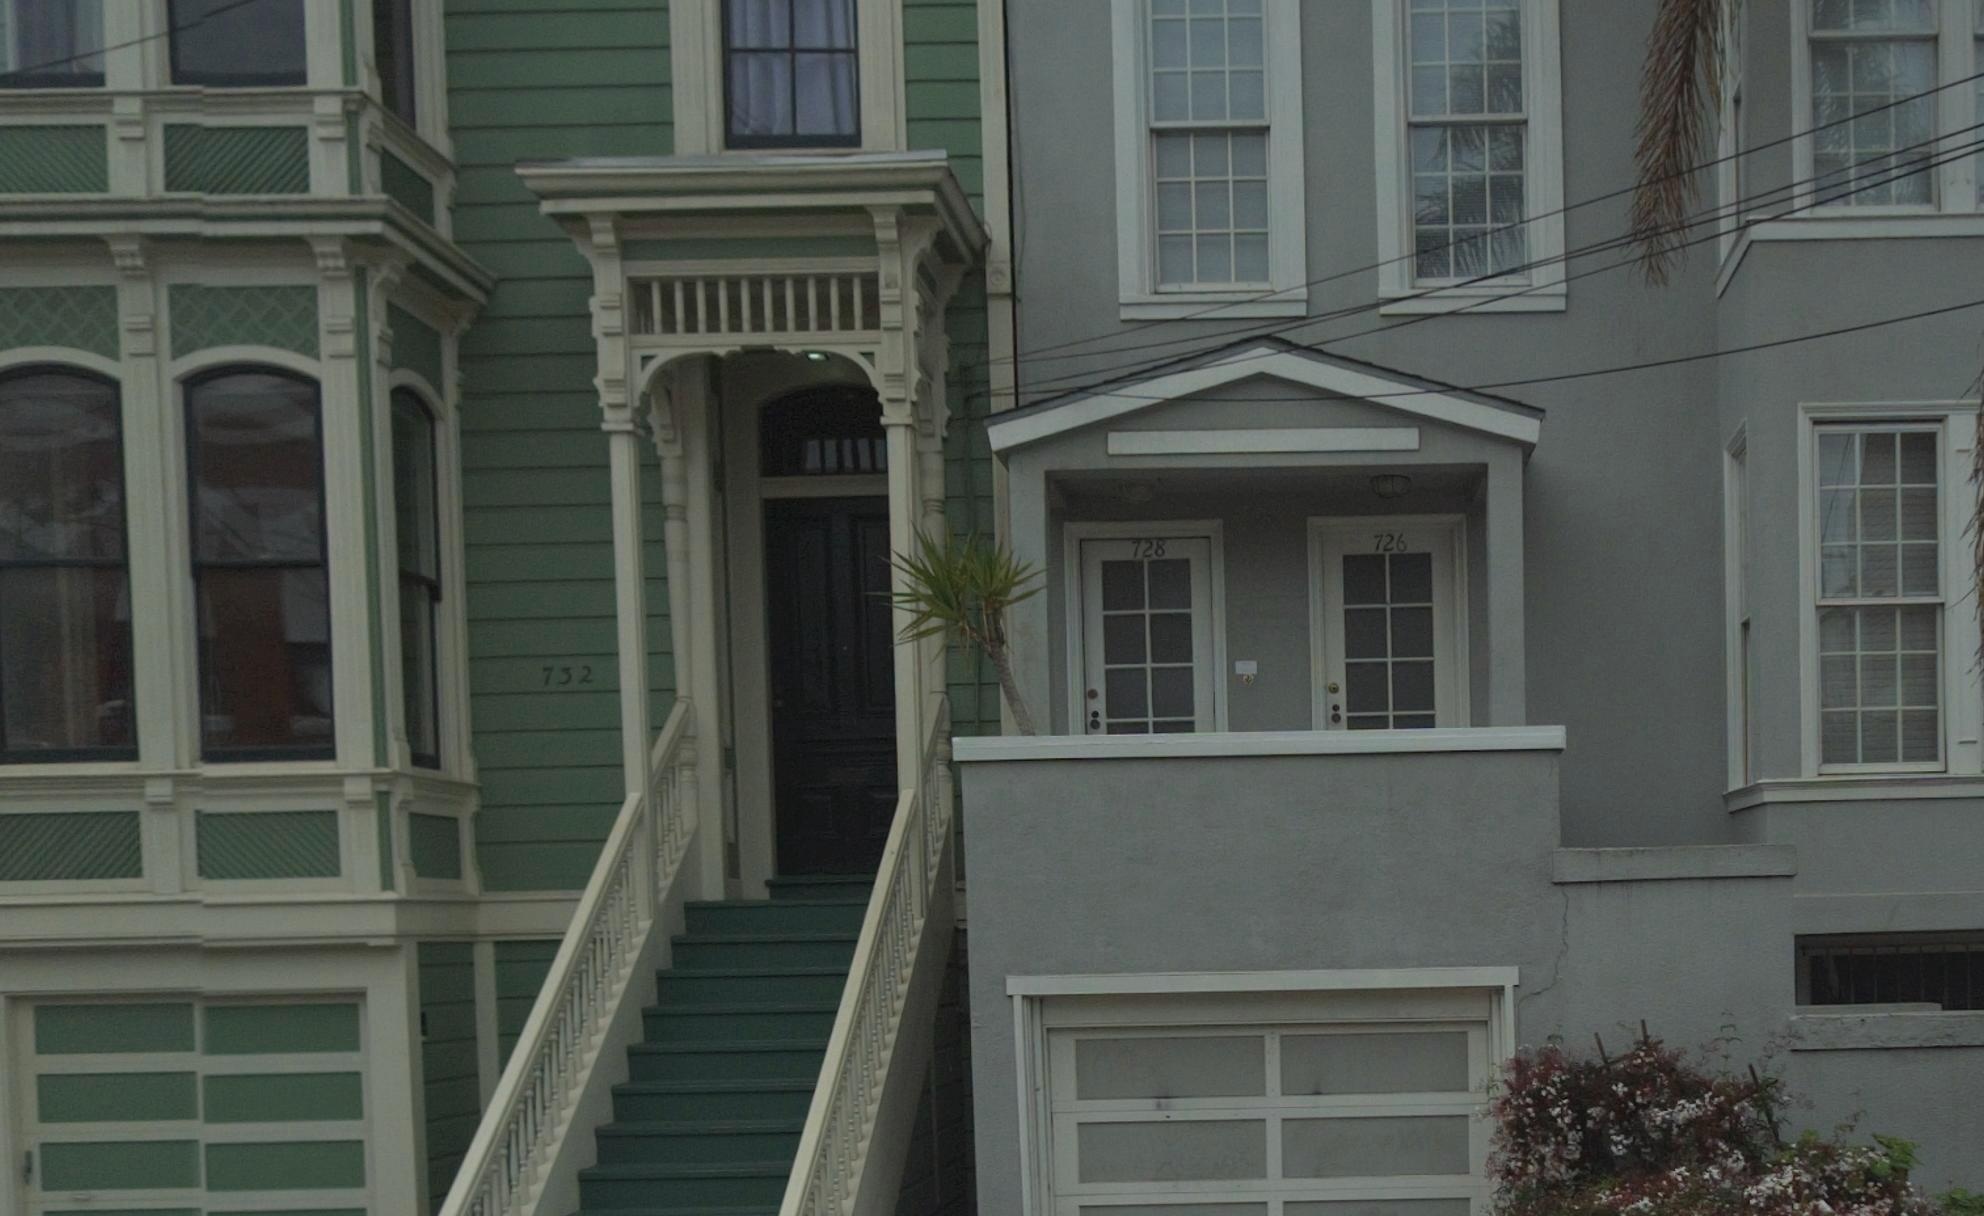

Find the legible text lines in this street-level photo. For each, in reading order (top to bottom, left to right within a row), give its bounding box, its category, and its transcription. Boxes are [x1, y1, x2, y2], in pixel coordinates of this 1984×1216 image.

[1129, 538, 1167, 560] StreetNumber: 728
[1371, 530, 1408, 553] StreetNumber: 726
[539, 662, 594, 688] StreetNumber: 732